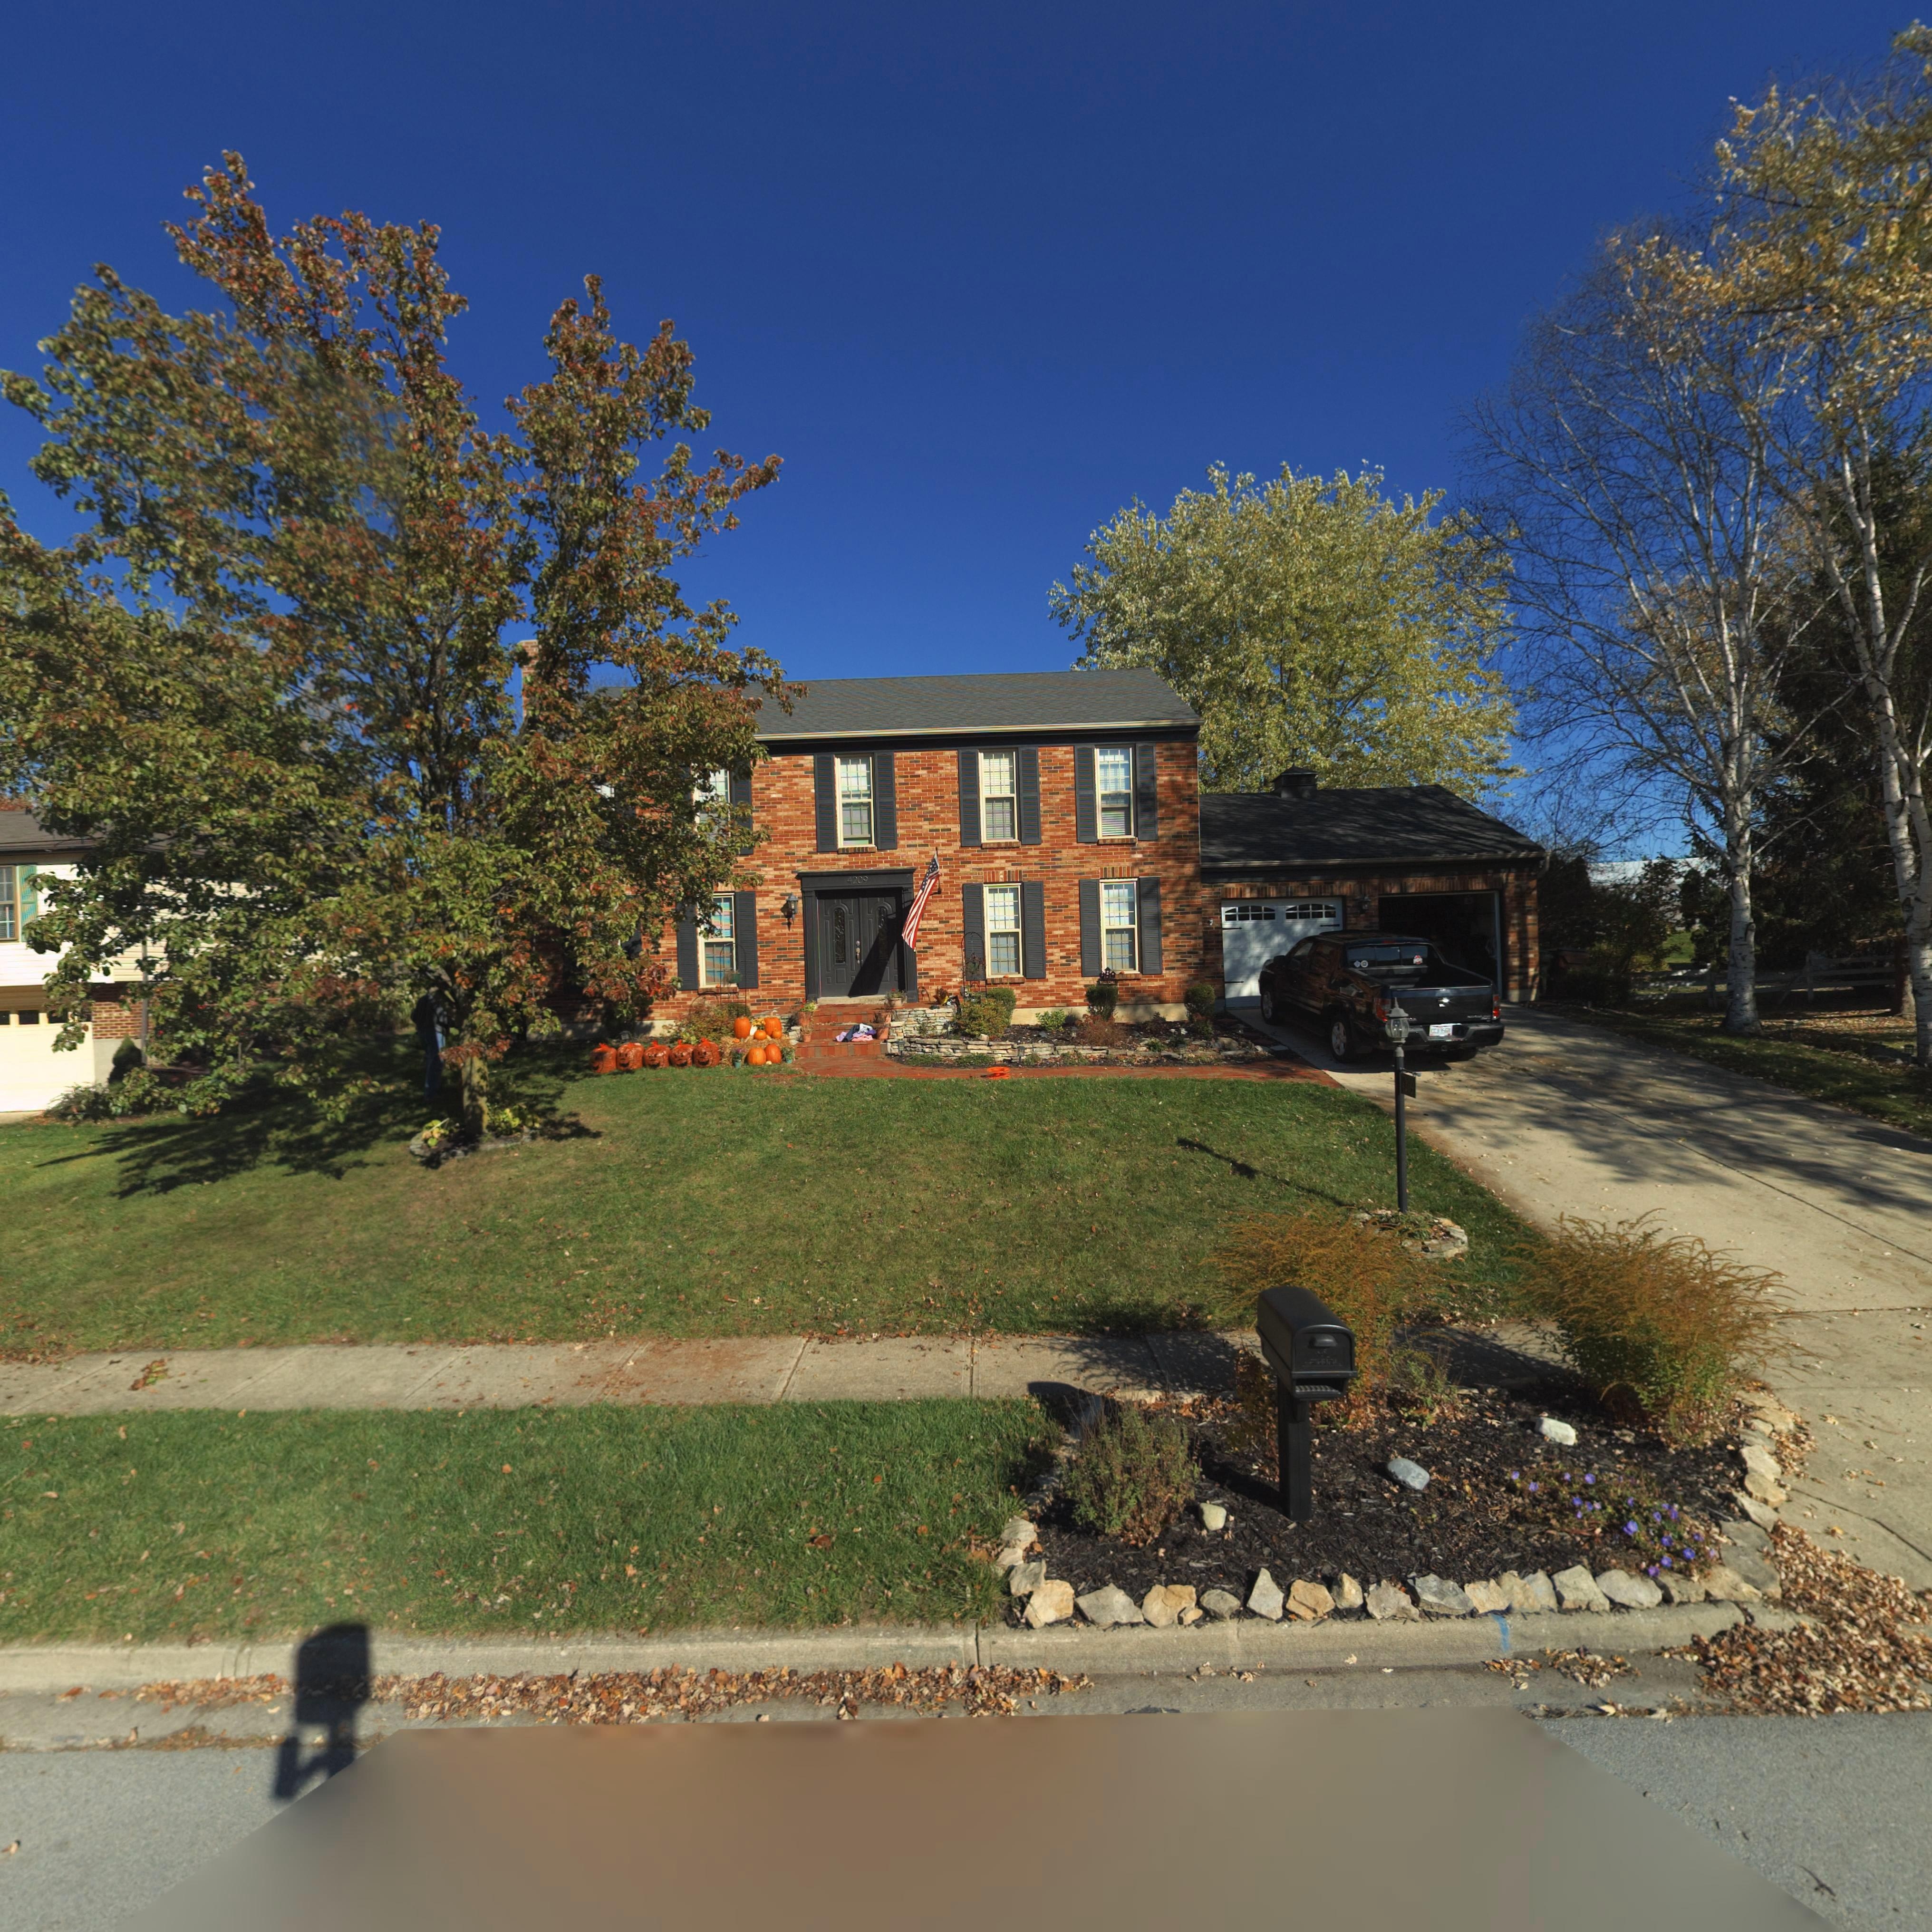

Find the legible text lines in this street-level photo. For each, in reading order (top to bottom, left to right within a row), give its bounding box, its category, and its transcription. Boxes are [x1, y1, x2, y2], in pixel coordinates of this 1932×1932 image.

[845, 875, 869, 886] StreetNumber: 4209
[1429, 1027, 1451, 1035] None: C*J*356*
[1400, 1075, 1416, 1097] StreetNumber: *209